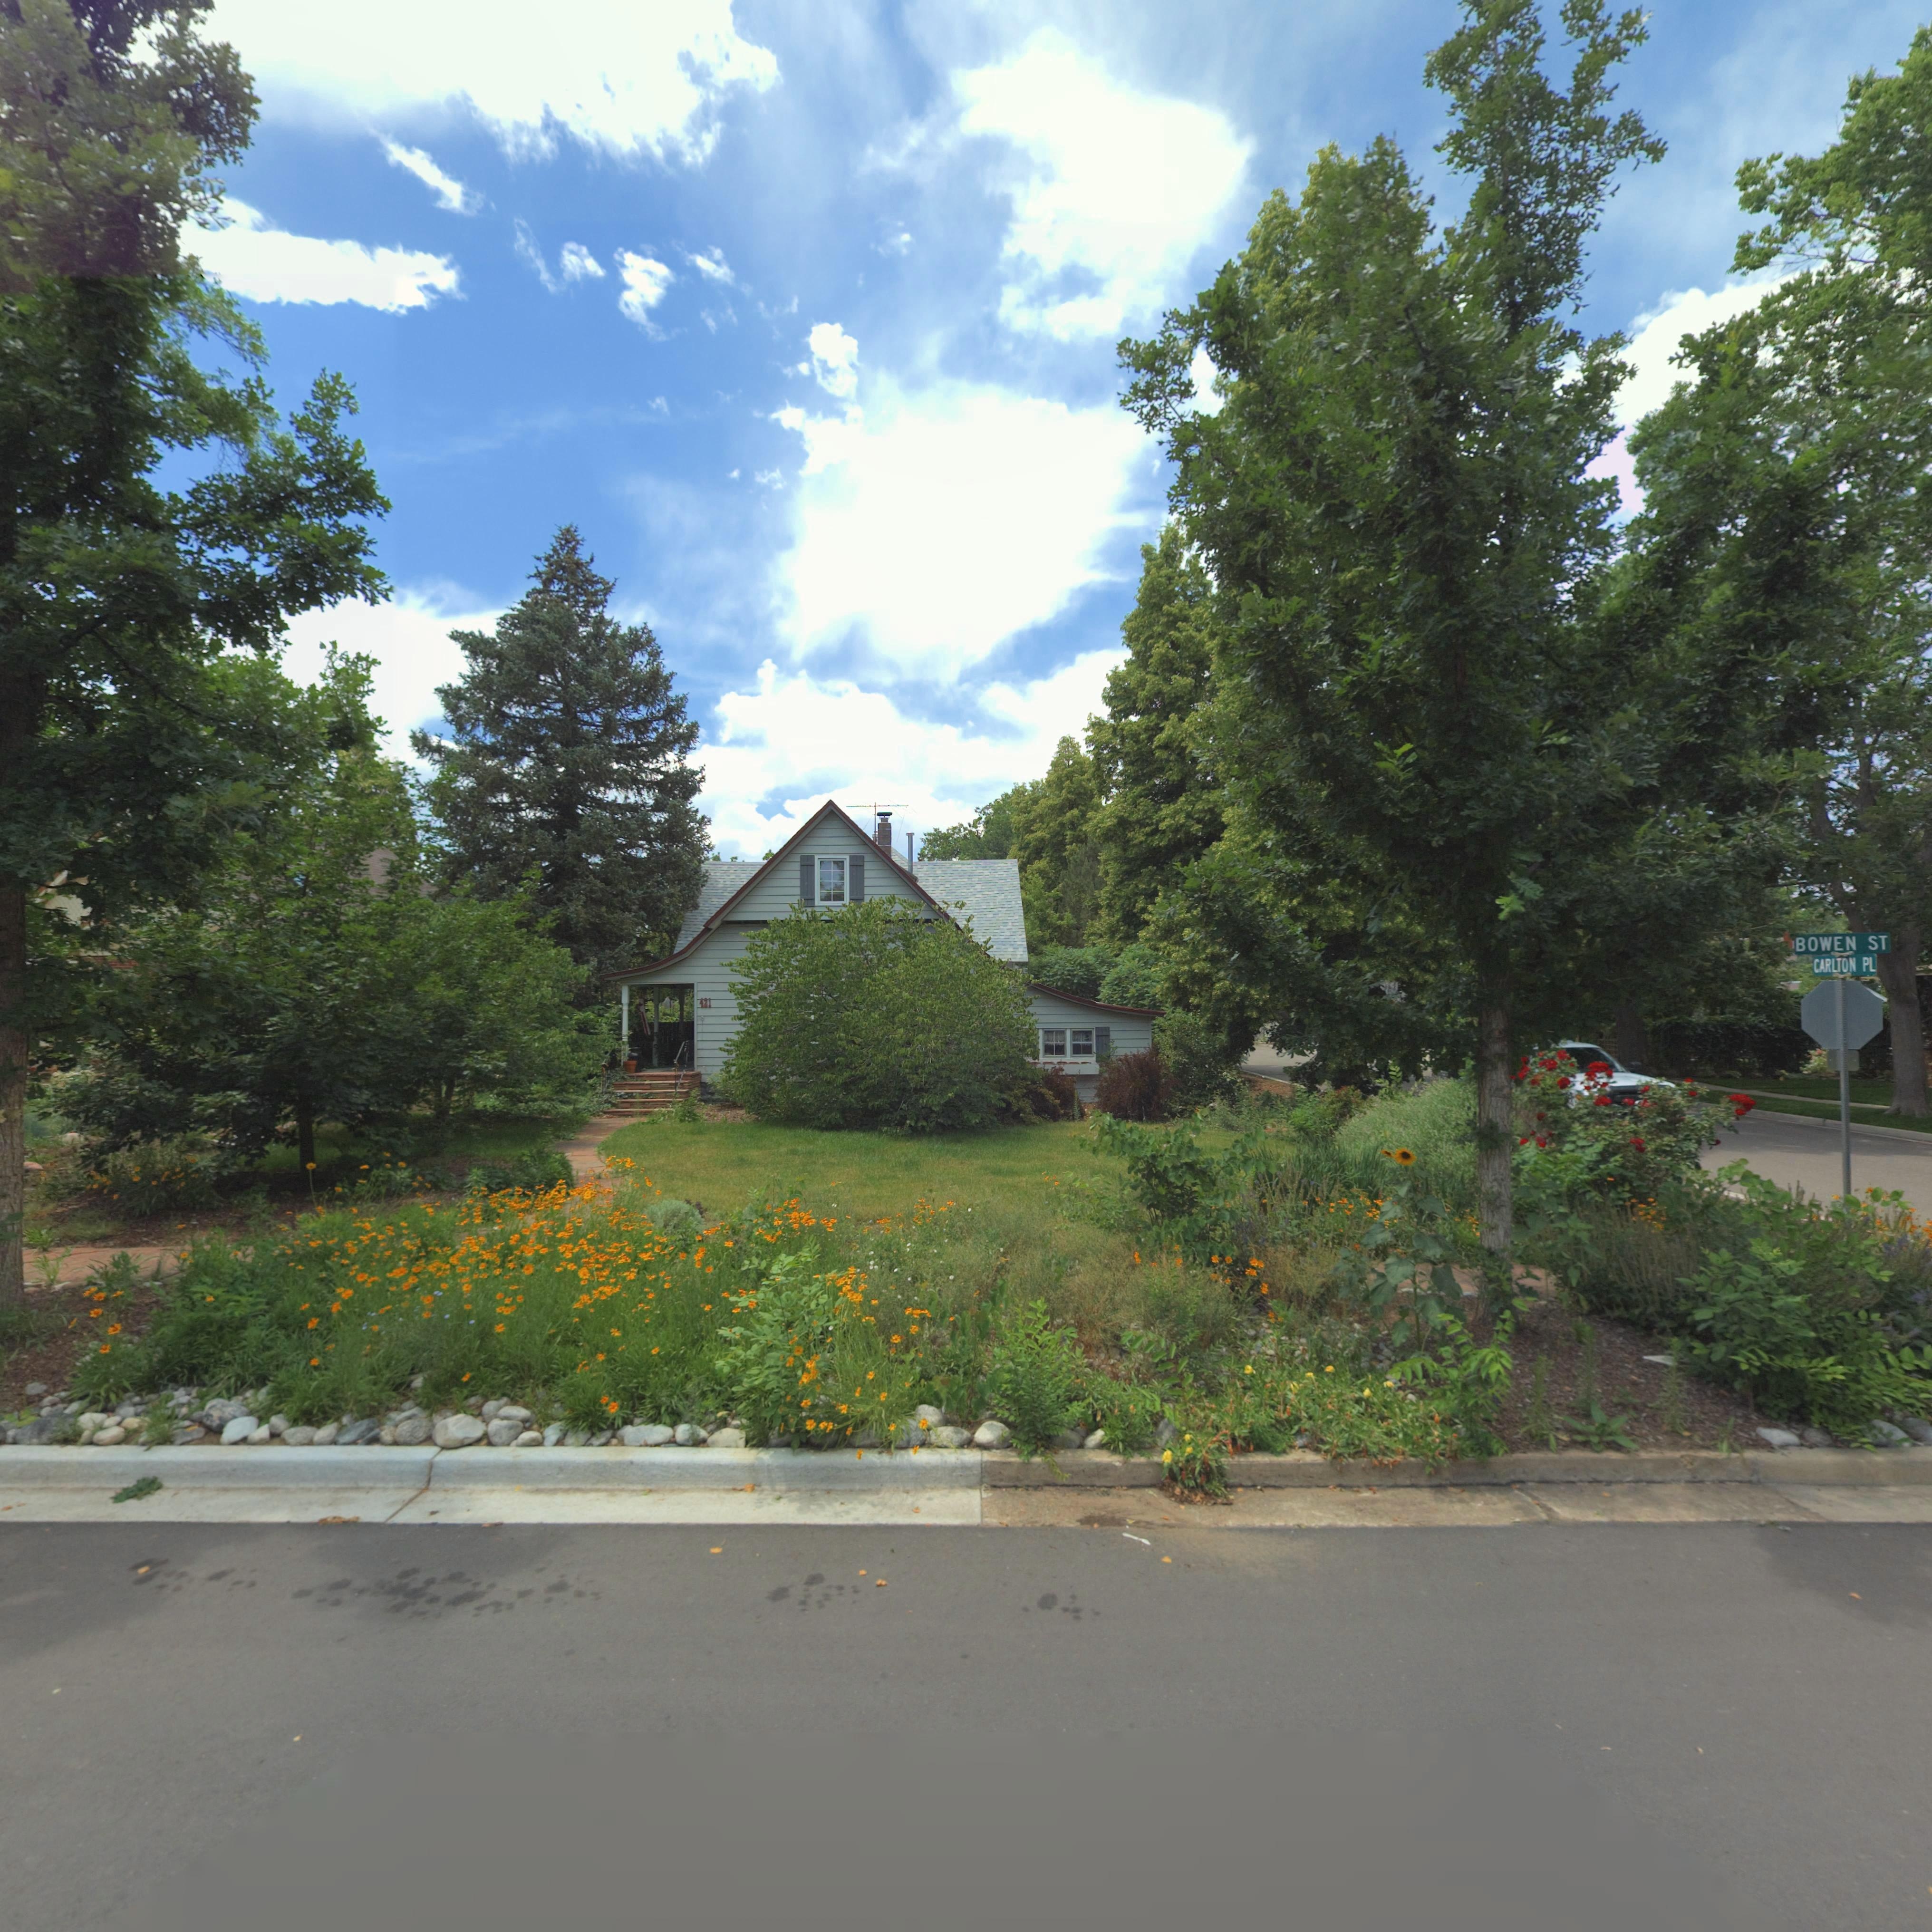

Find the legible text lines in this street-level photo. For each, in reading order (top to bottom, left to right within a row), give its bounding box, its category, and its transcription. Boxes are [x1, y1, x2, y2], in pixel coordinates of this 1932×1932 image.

[1795, 935, 1888, 952] StreetName: BOWEN ST
[1813, 956, 1876, 973] StreetName: CARLTON PL
[699, 997, 712, 1008] StreetNumber: 421